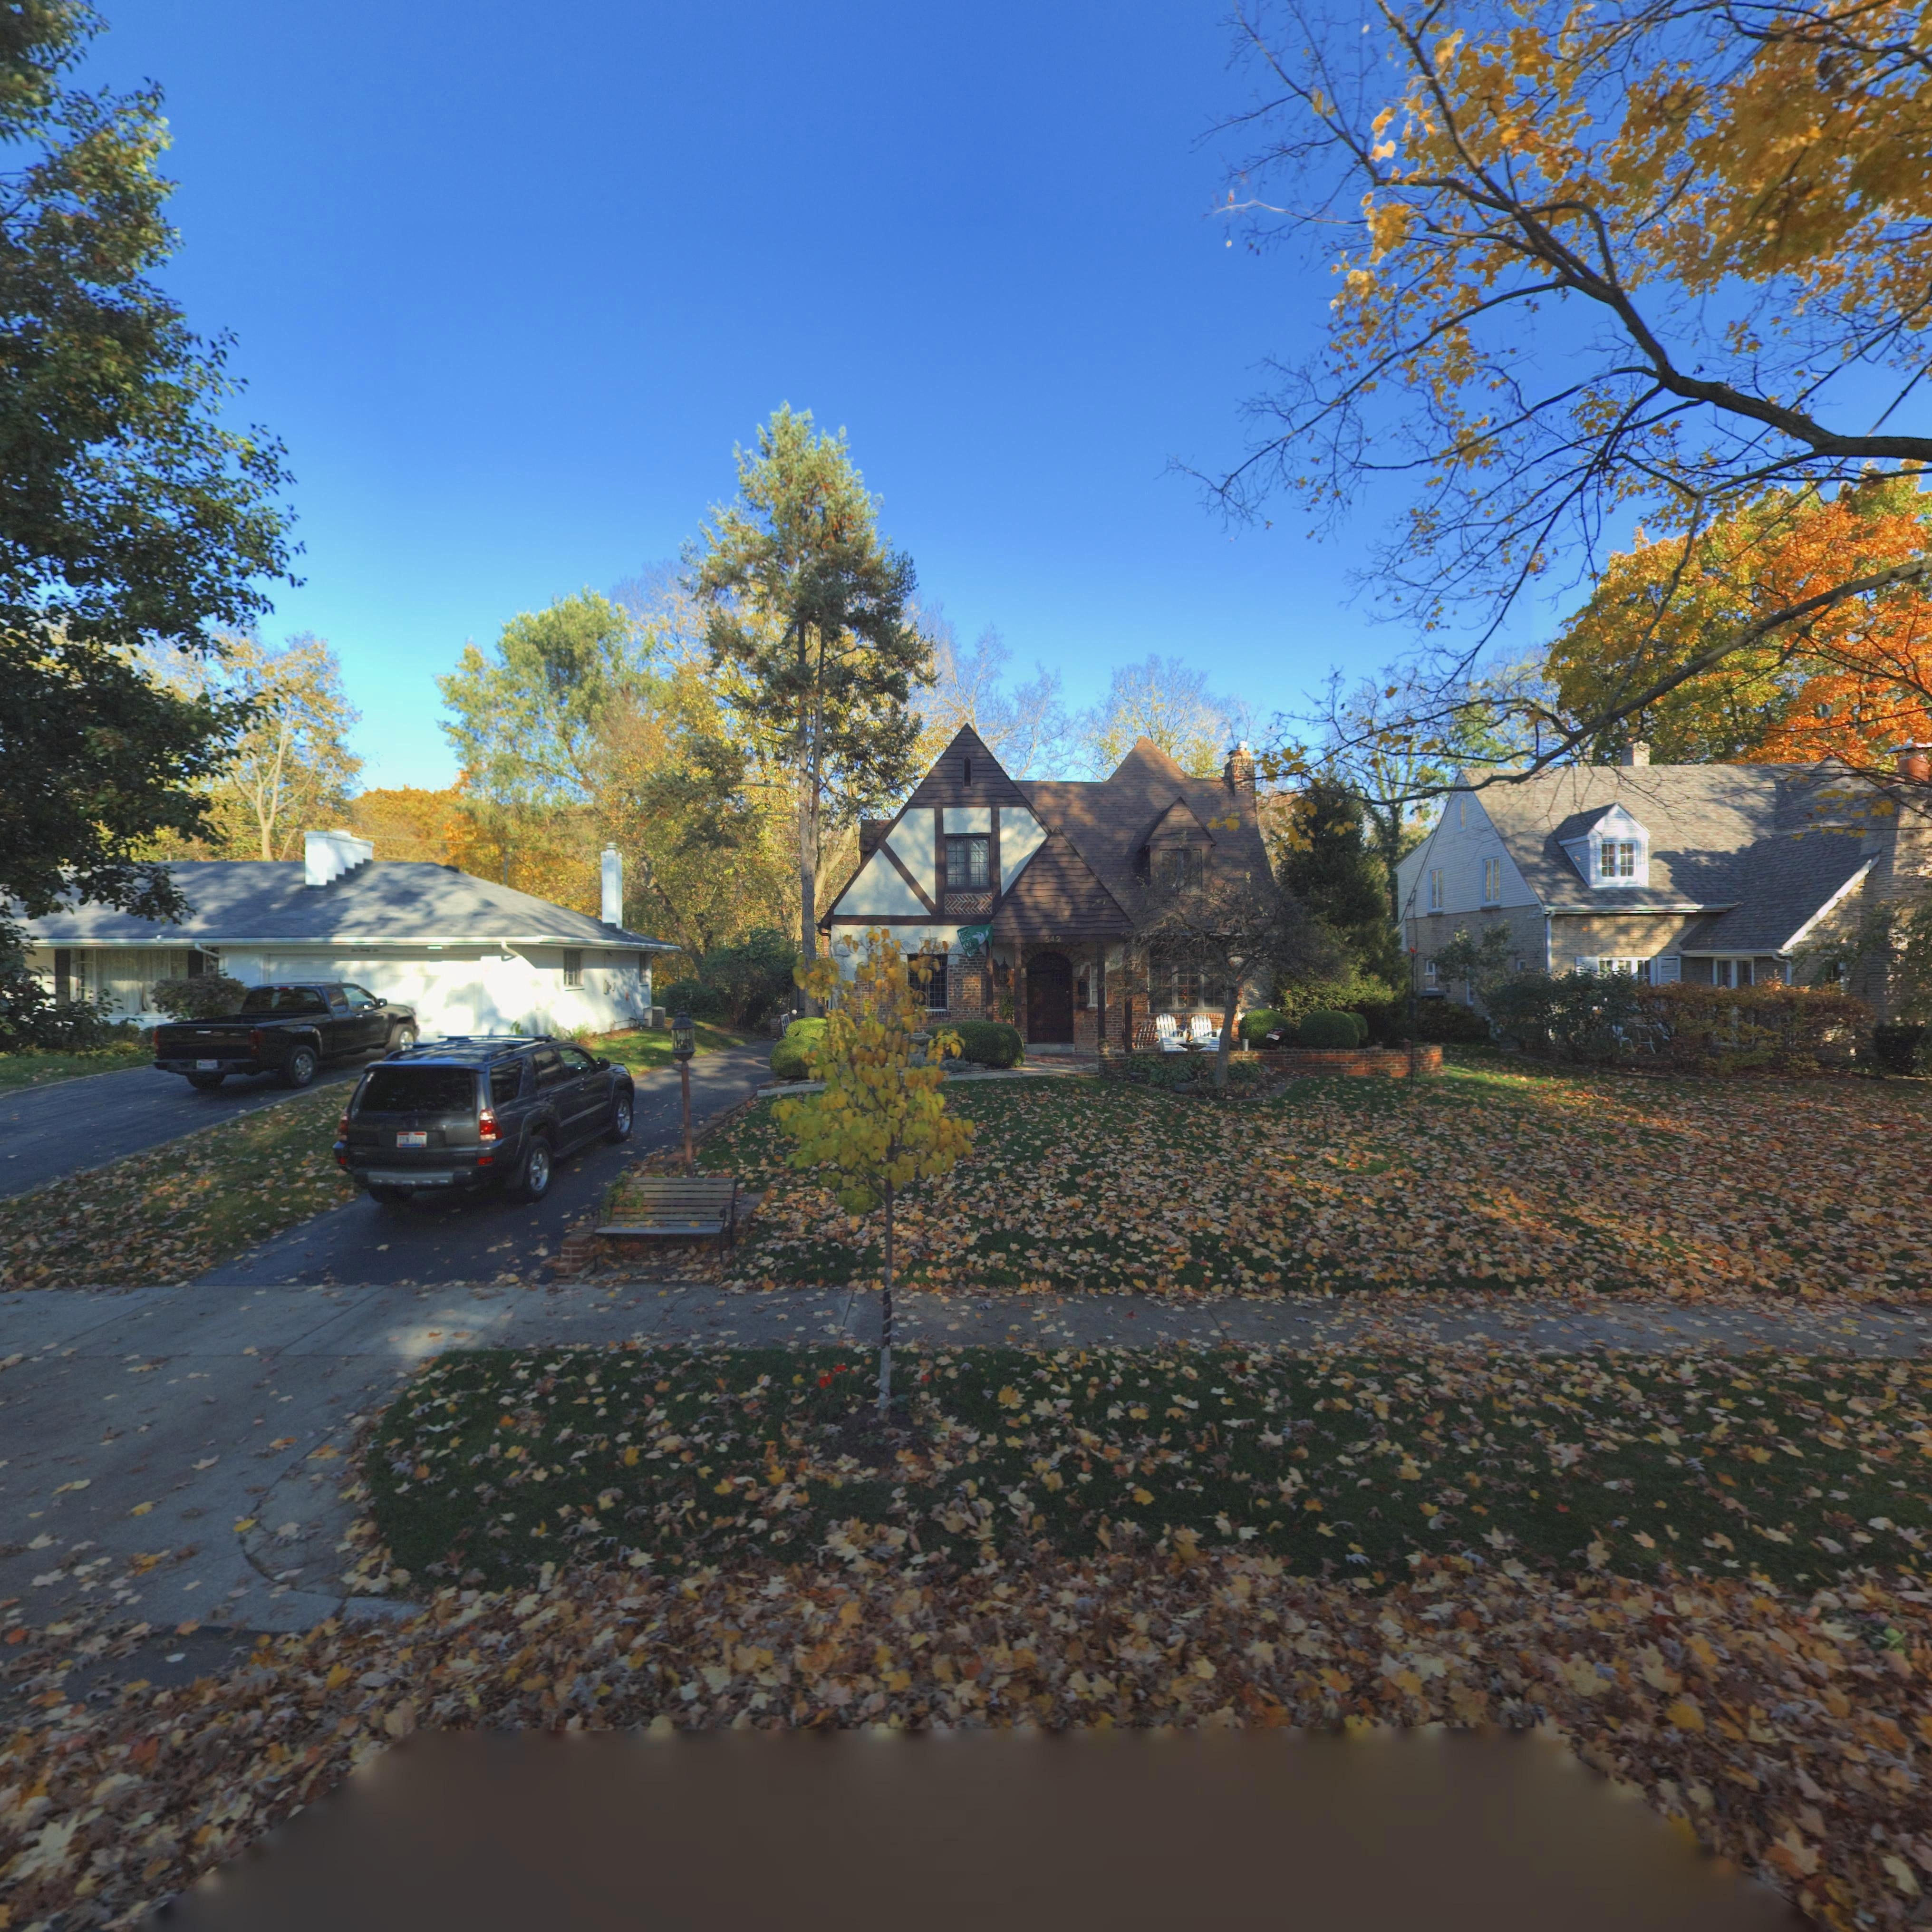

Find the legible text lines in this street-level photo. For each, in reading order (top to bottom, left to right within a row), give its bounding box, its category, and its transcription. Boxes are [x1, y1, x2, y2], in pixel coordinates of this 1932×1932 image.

[1044, 935, 1061, 943] StreetNumber: 542